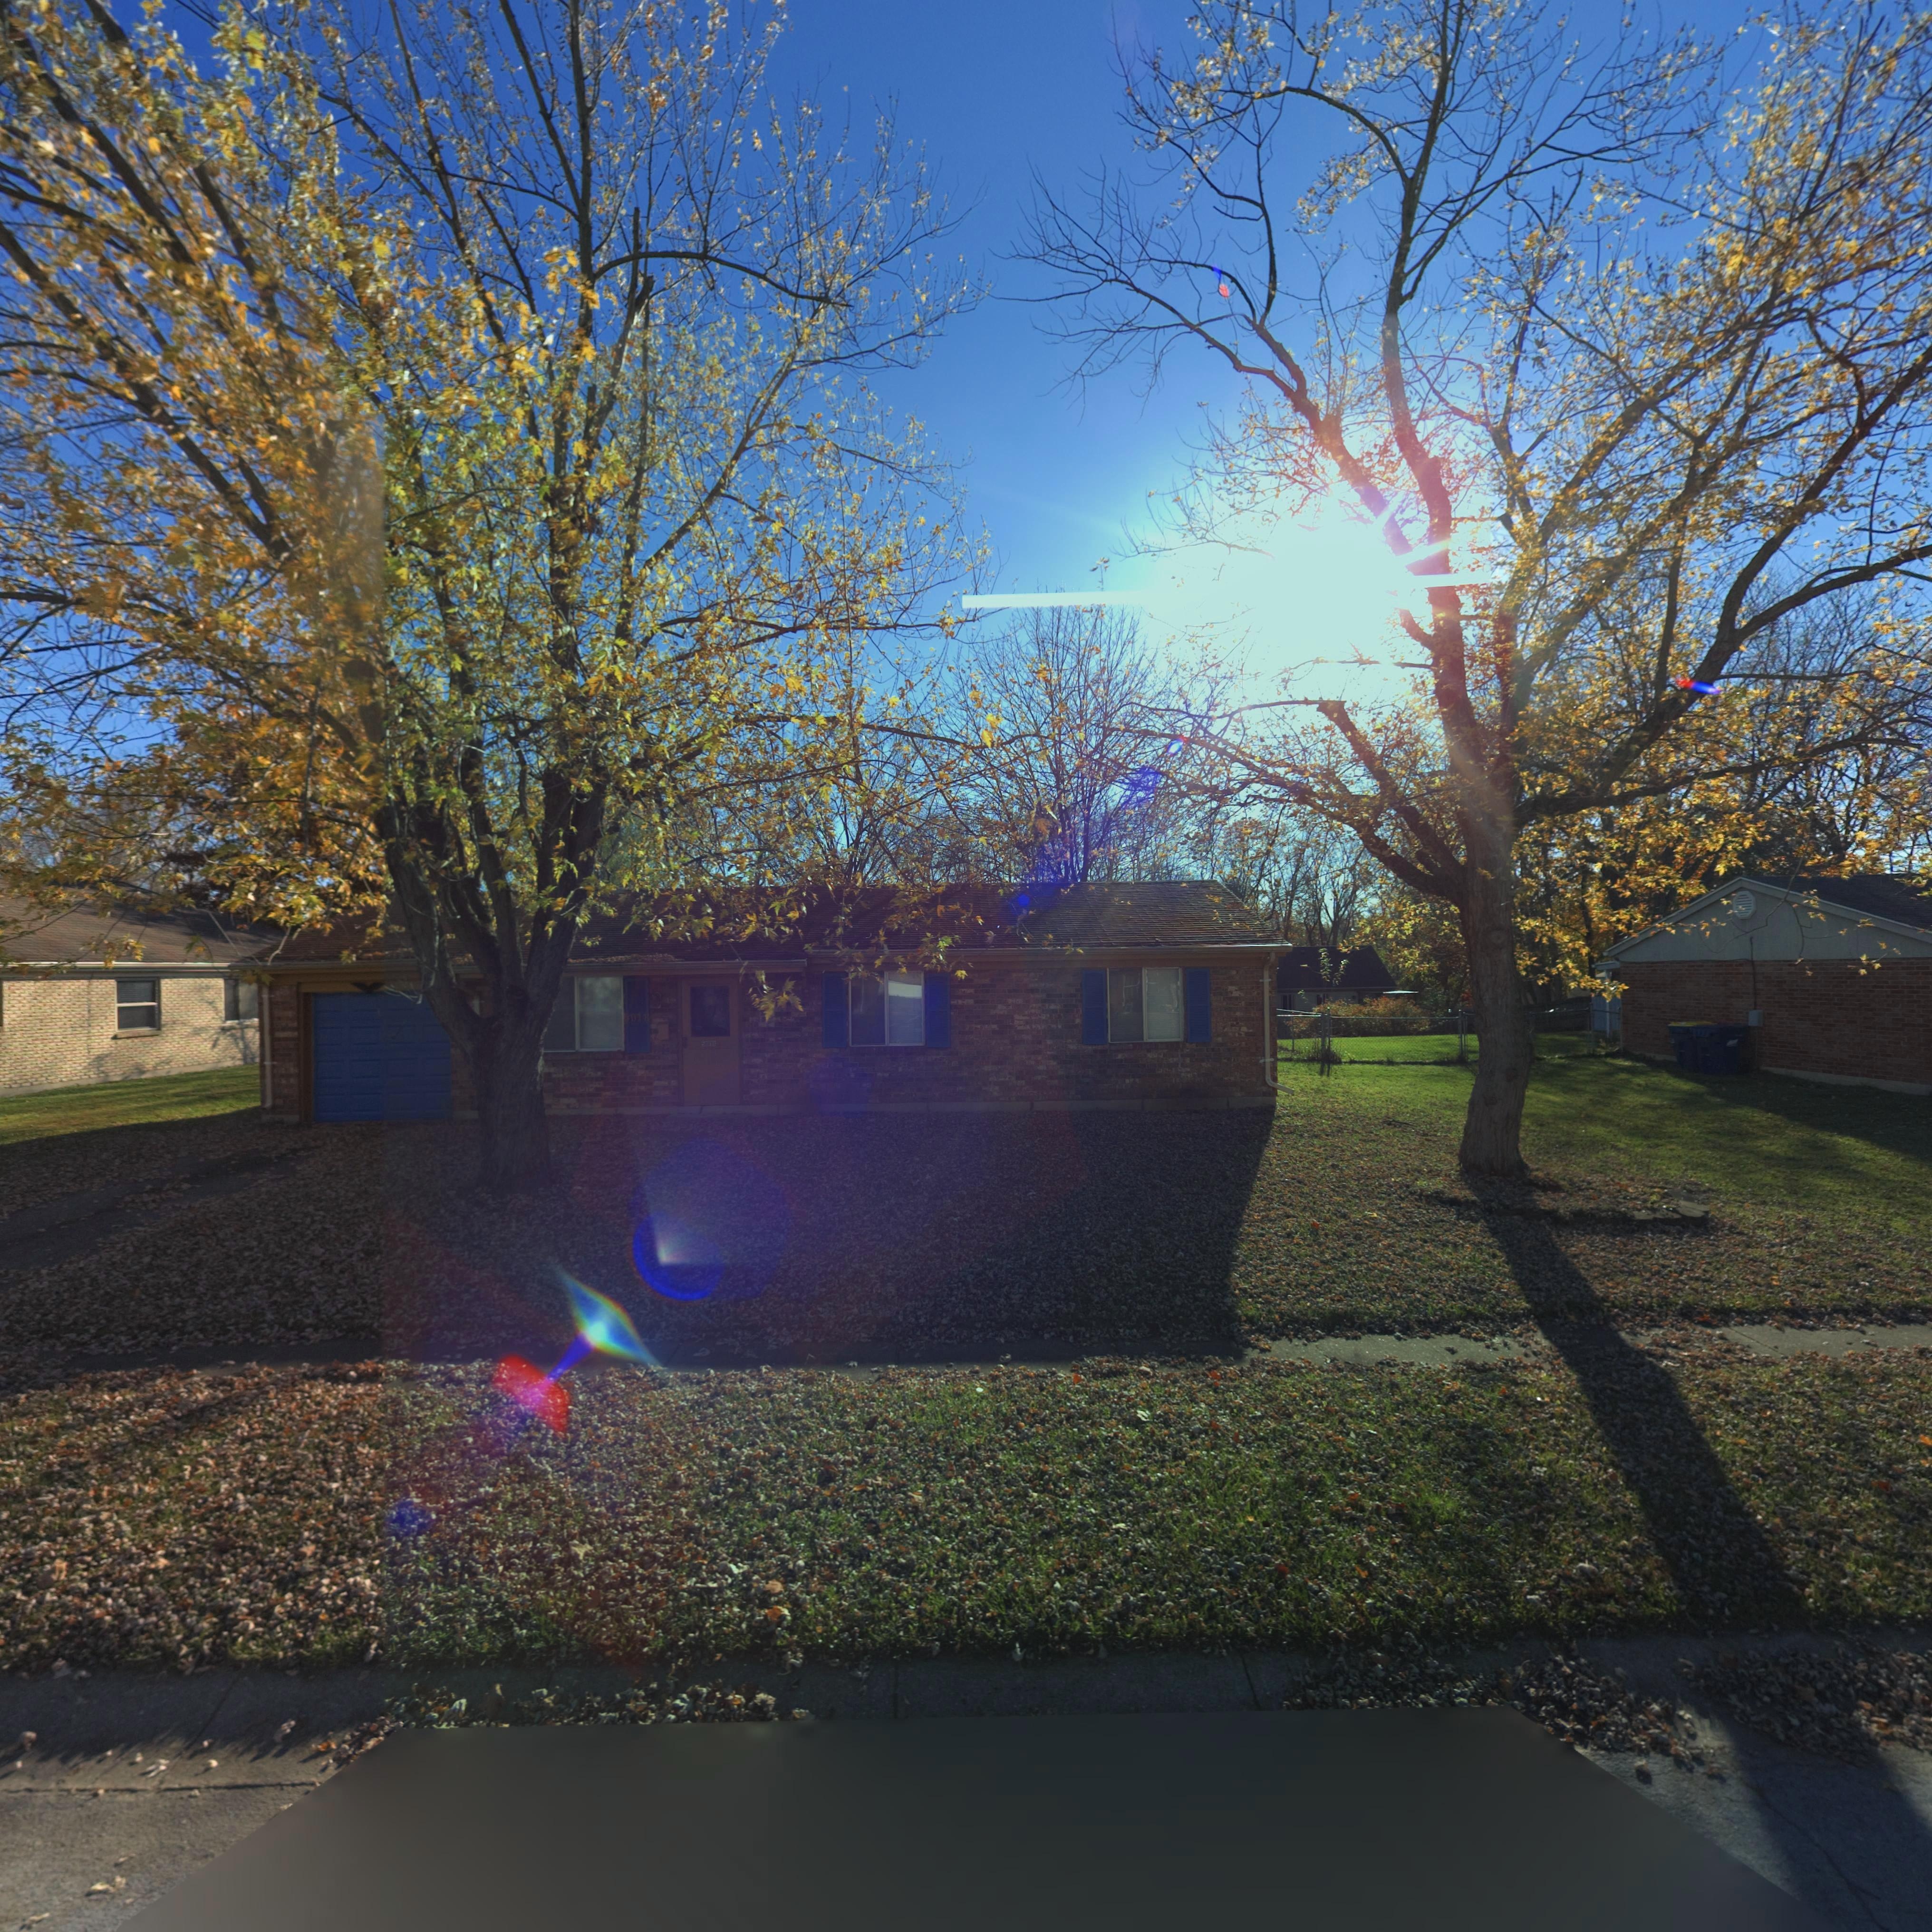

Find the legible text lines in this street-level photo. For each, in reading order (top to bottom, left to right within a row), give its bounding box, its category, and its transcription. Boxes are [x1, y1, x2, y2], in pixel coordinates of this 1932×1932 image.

[624, 1013, 650, 1023] StreetNumber: 5018
[701, 1040, 716, 1046] StreetNumber: 5018